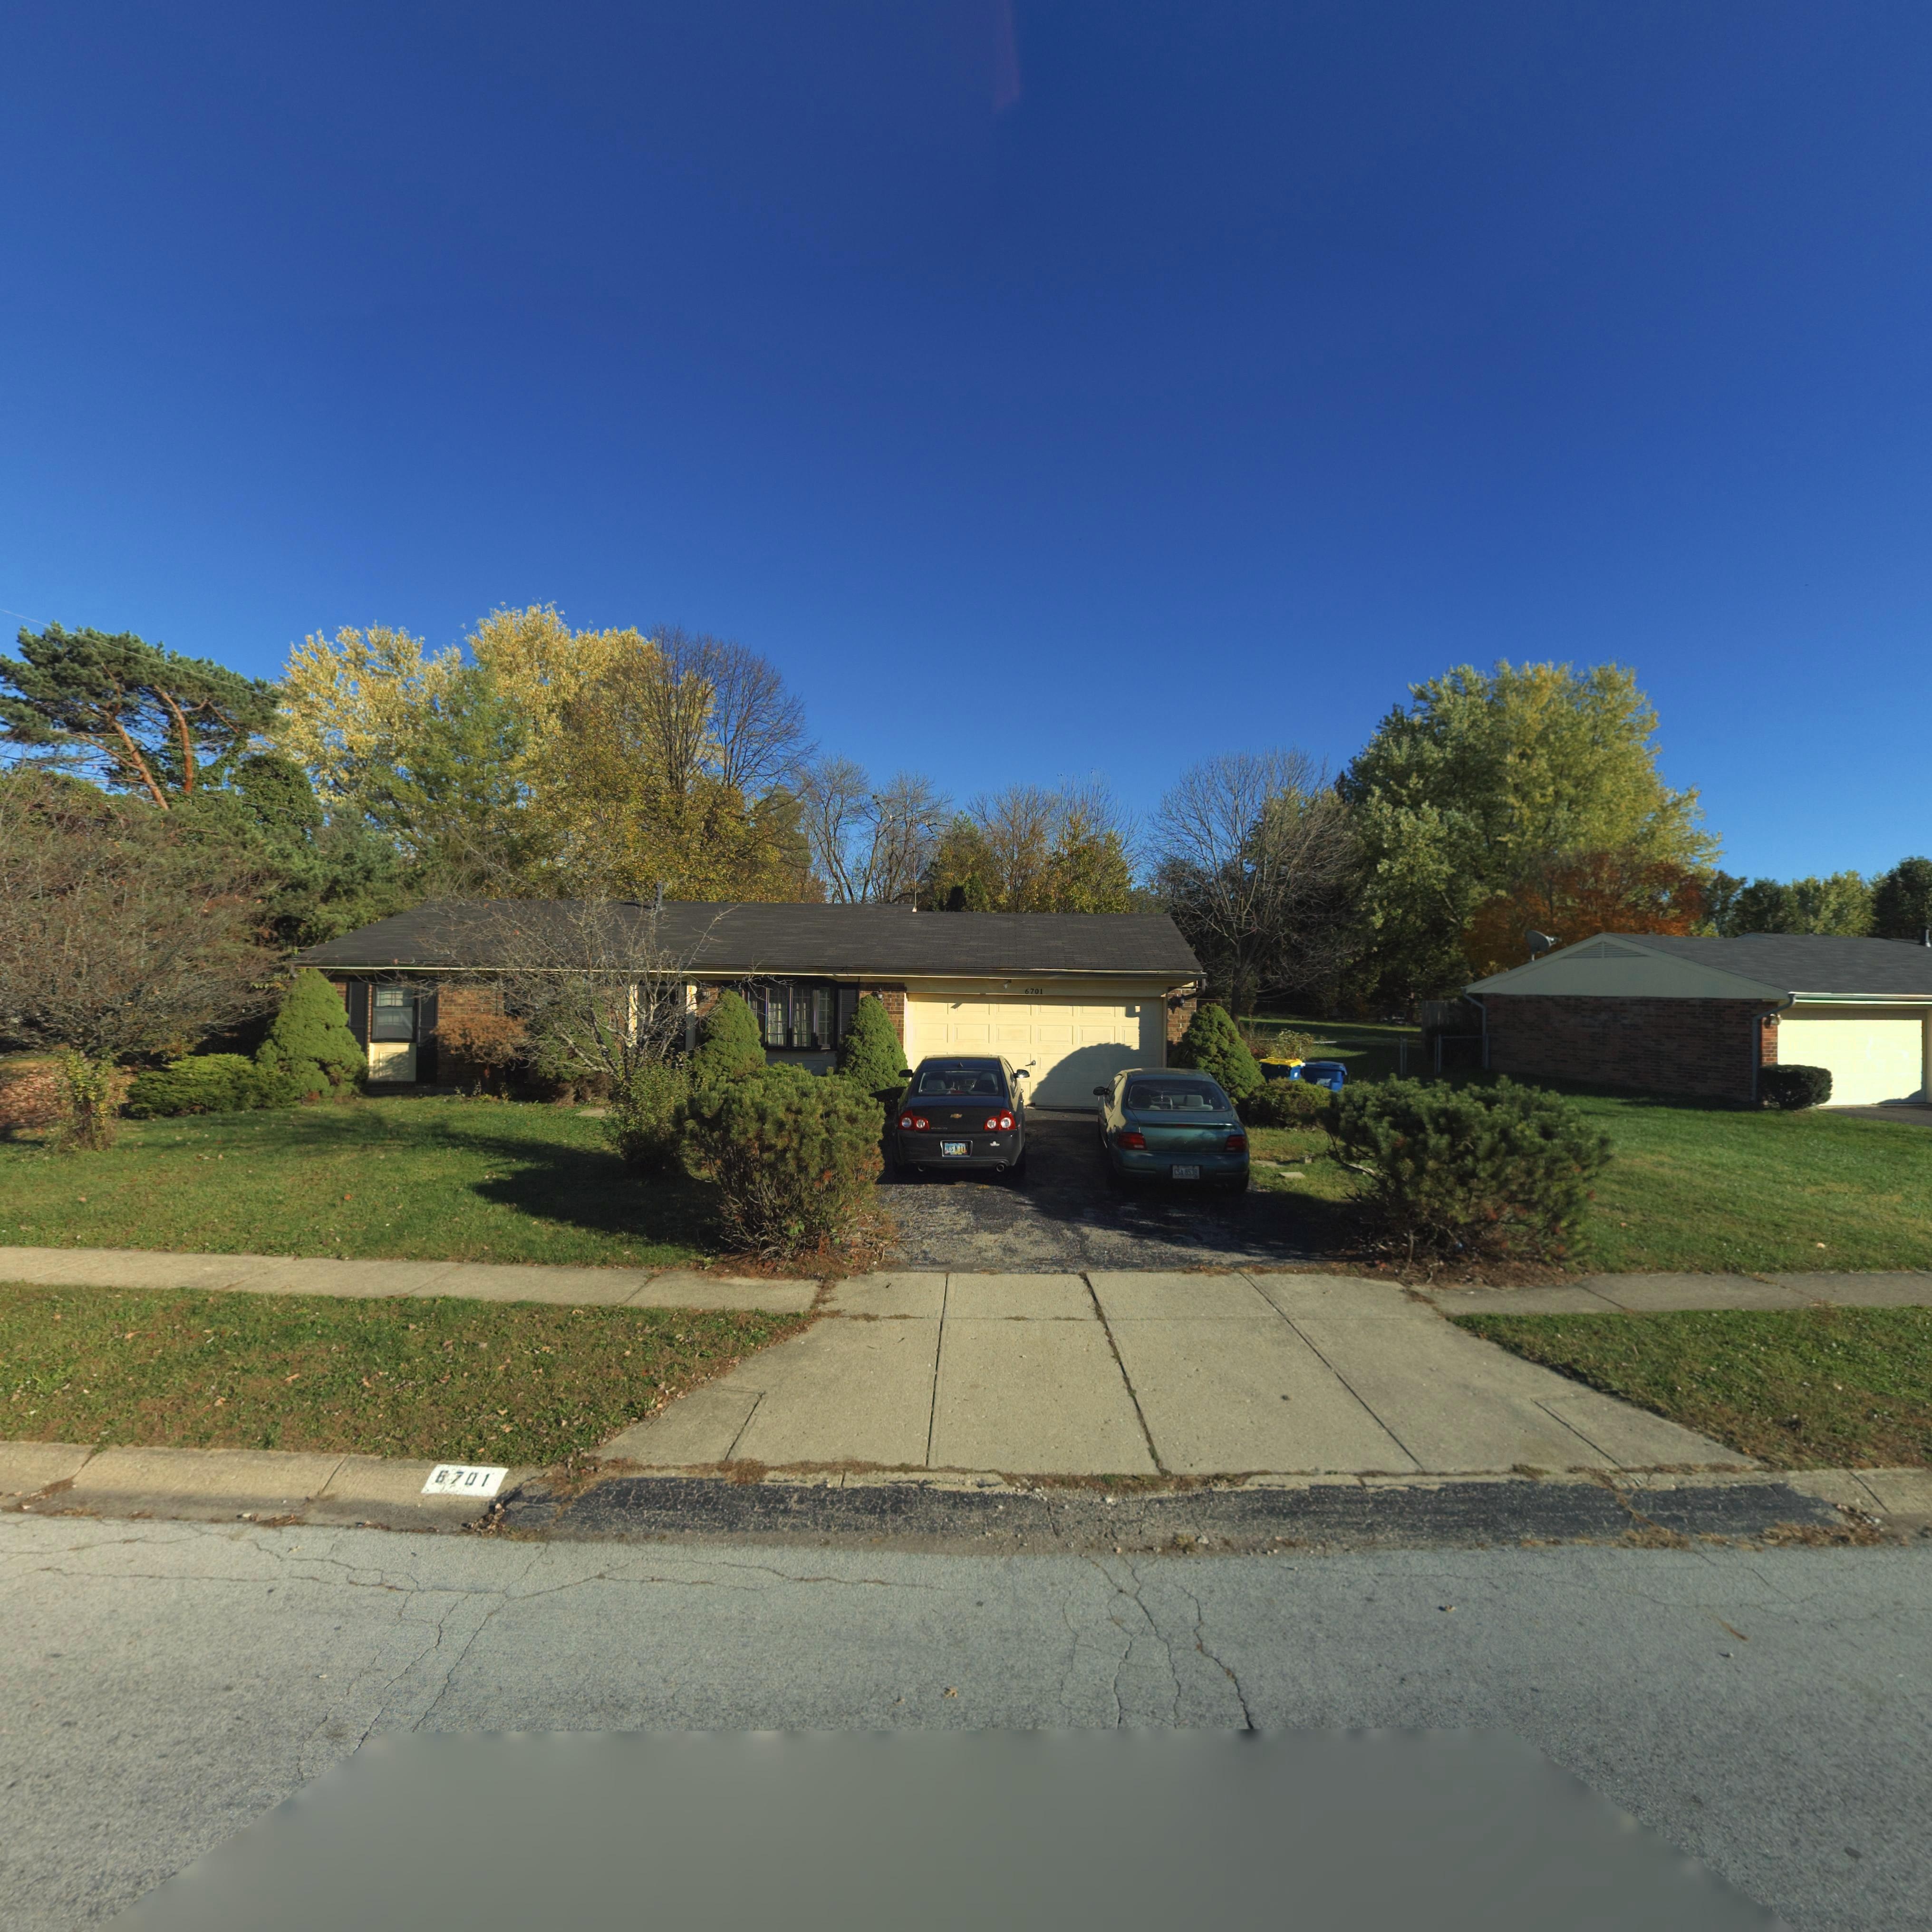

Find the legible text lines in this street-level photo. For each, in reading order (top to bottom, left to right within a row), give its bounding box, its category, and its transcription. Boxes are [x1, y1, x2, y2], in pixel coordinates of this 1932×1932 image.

[1024, 988, 1043, 995] StreetNumber: 6701
[433, 1469, 492, 1488] StreetNumber: 6701